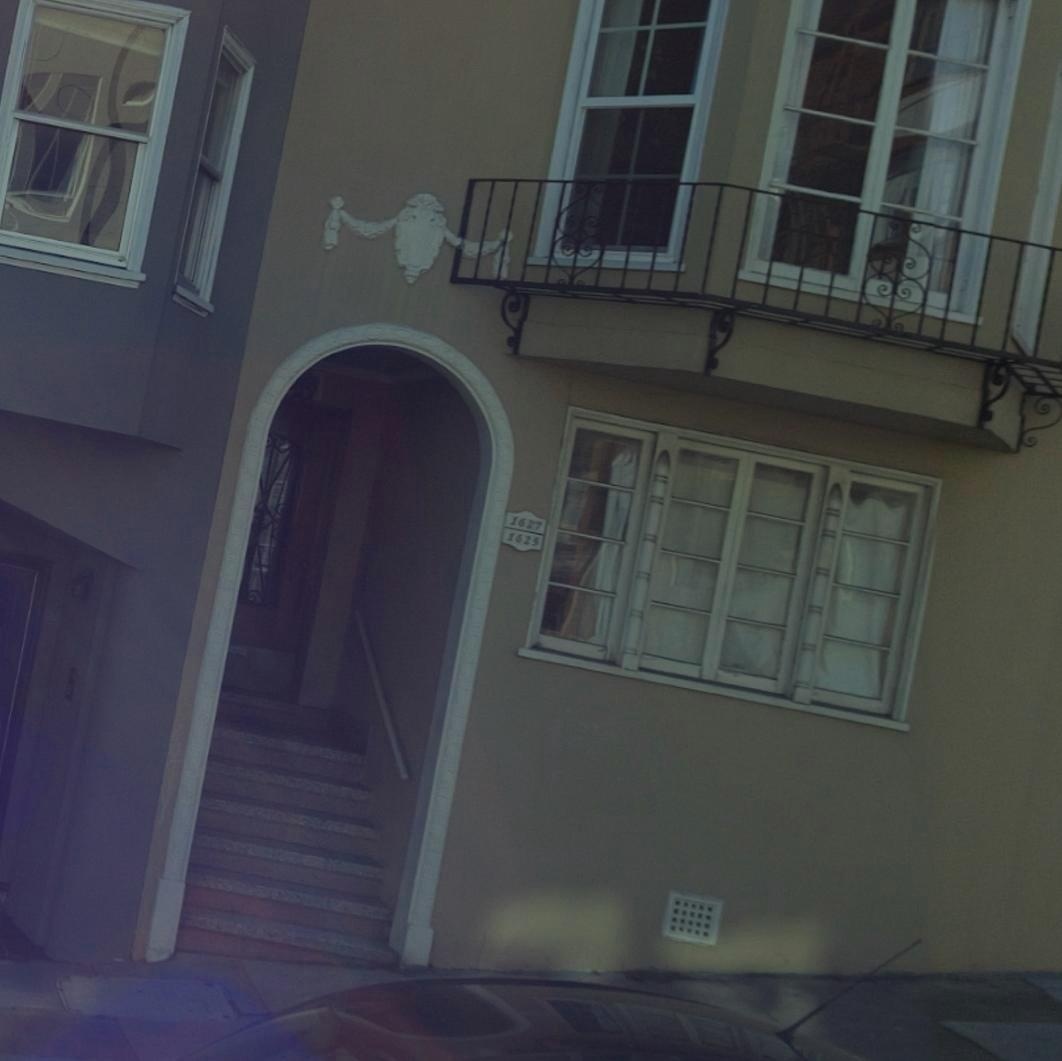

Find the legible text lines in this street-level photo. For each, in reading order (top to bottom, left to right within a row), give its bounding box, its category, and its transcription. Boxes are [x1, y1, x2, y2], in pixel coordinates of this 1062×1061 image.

[507, 513, 546, 533] StreetNumber: 1627
[505, 529, 542, 549] StreetNumber: 1625